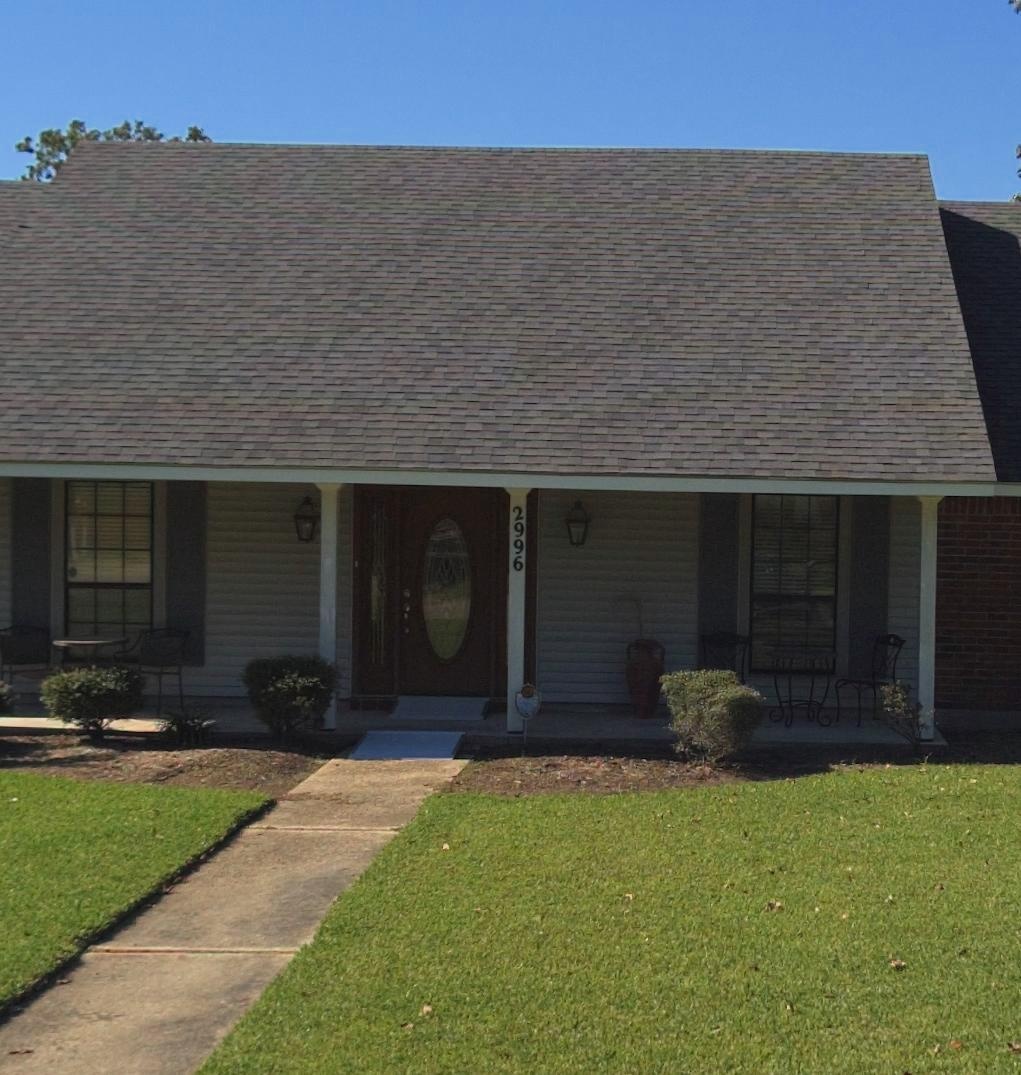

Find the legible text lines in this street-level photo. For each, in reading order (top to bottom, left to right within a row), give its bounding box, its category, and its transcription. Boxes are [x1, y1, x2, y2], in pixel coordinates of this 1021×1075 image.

[510, 504, 526, 573] StreetNumber: 2996